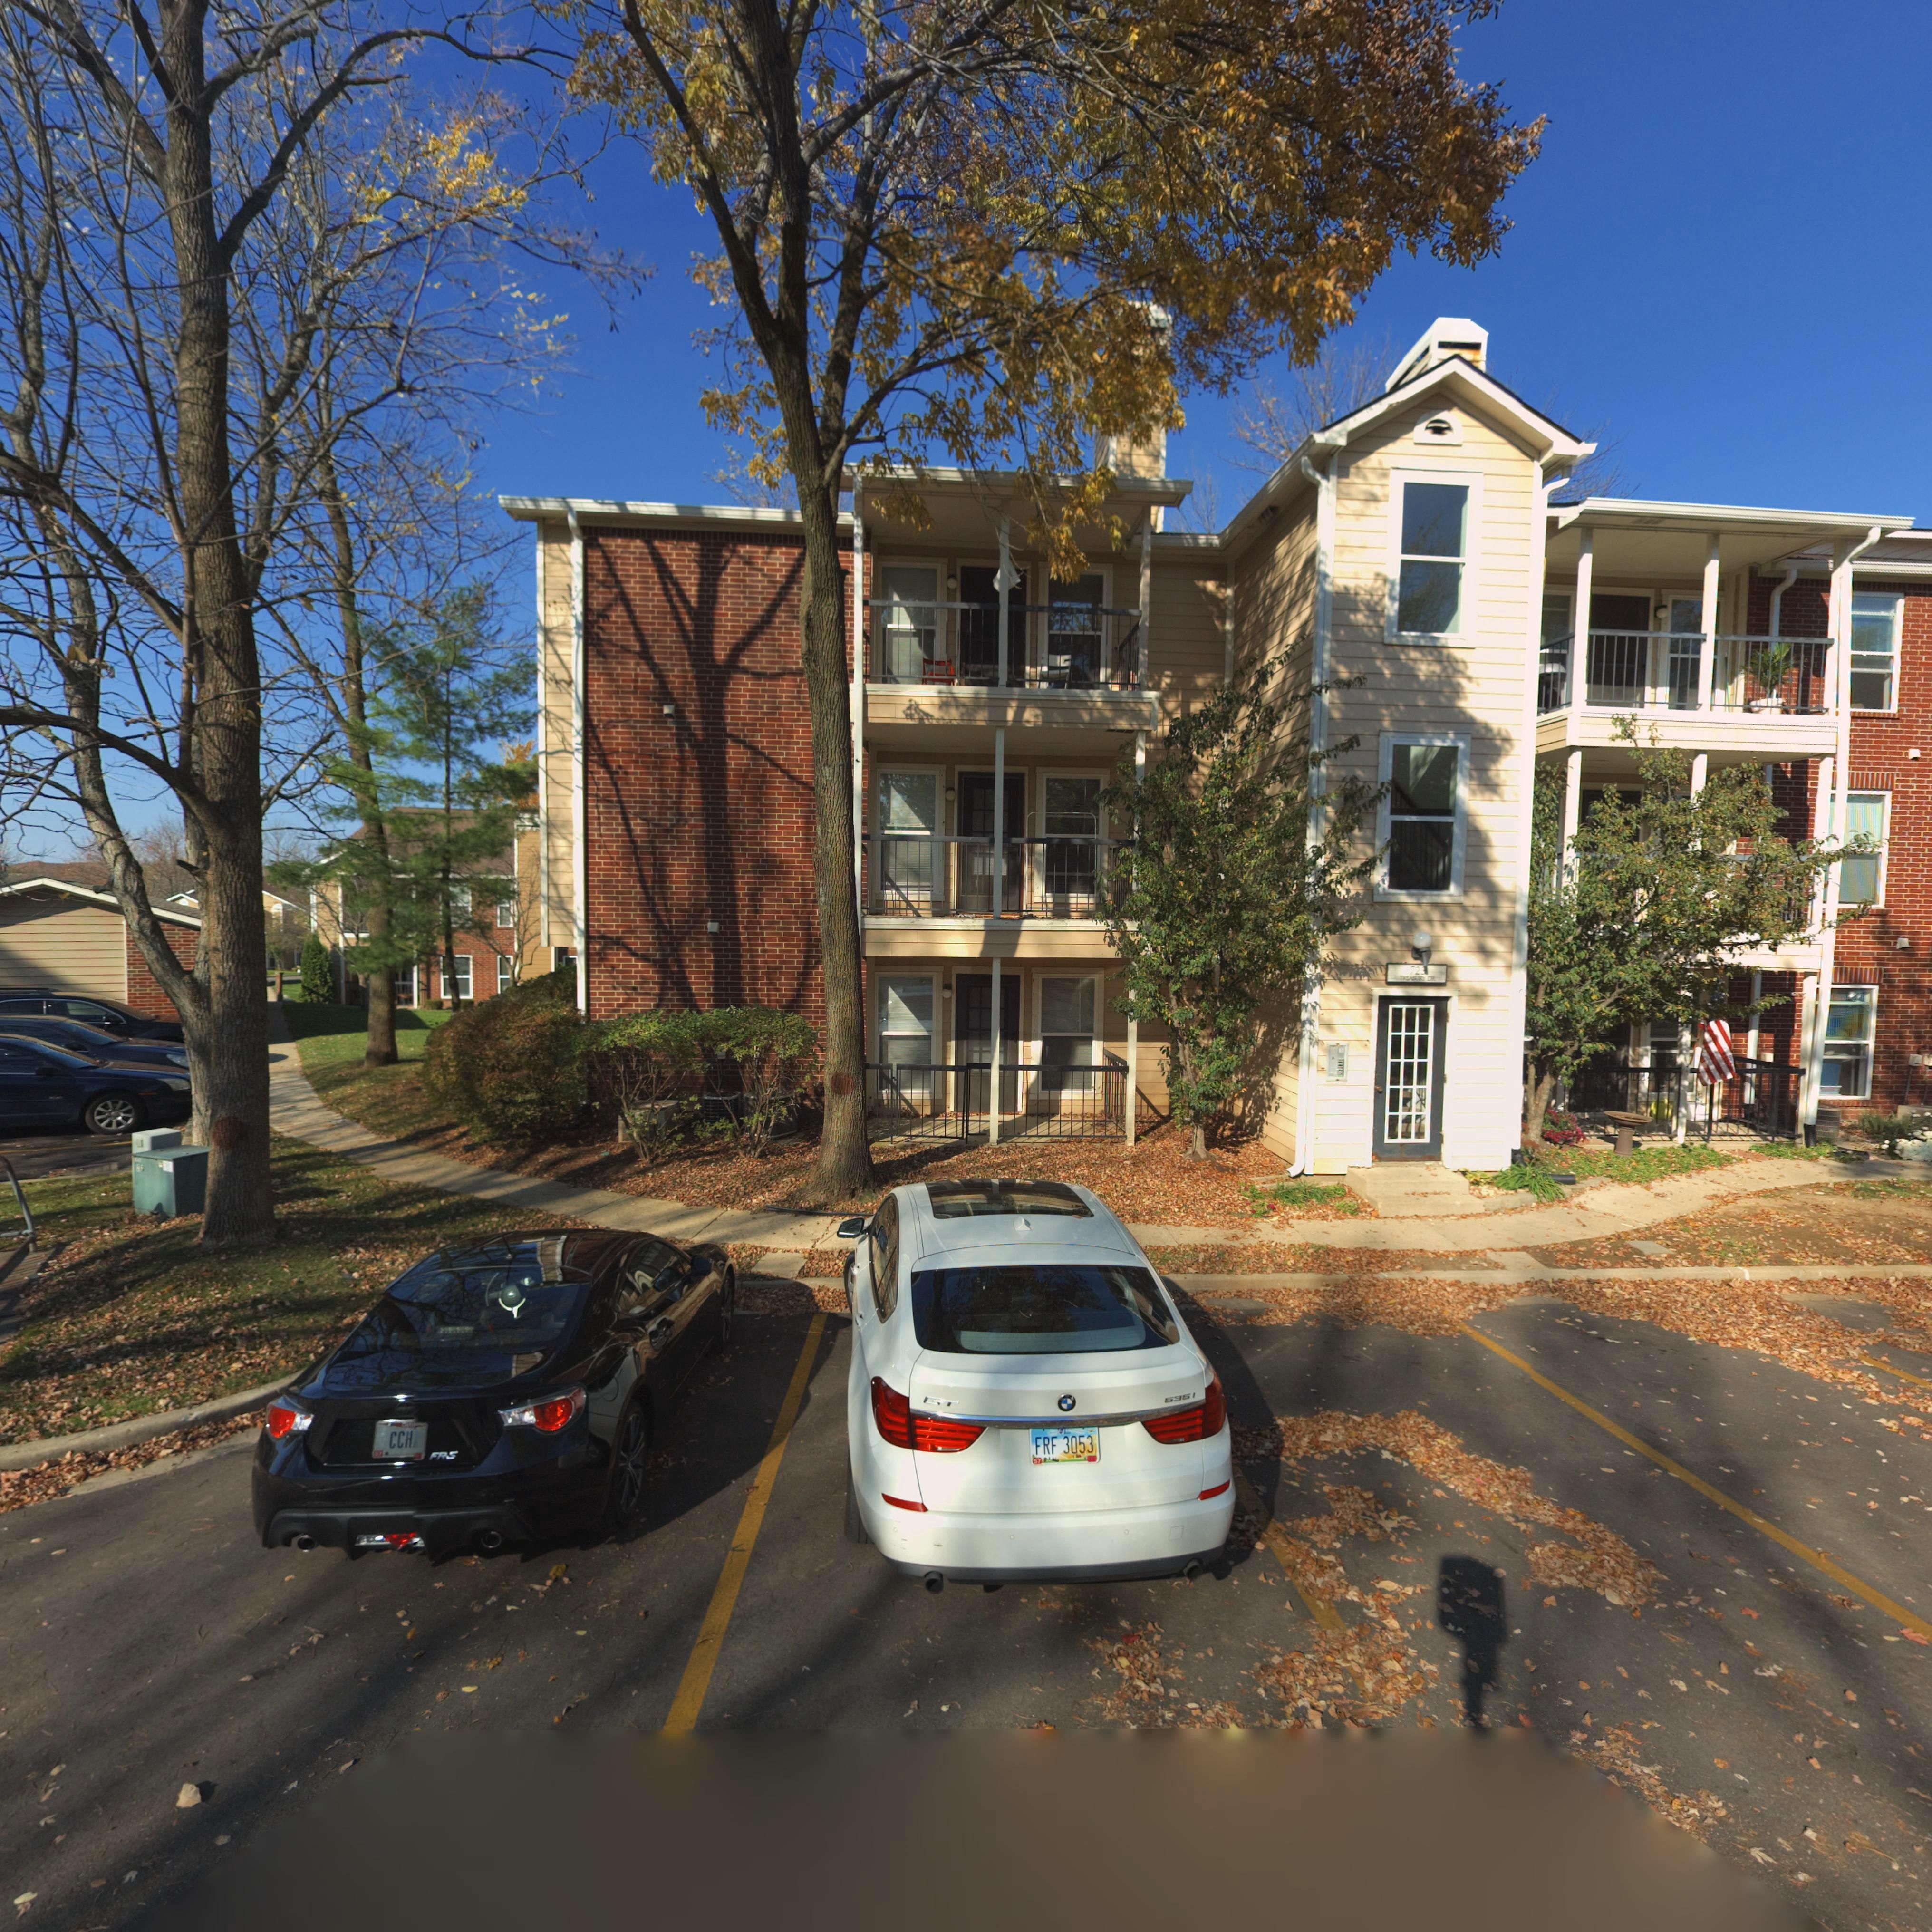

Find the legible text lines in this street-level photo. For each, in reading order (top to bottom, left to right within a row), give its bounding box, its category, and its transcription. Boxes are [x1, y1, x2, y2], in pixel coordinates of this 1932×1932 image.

[1409, 965, 1427, 975] StreetNumber: 723
[1398, 975, 1437, 982] StreetName: TREASU** DR
[920, 1393, 961, 1410] None: GT
[1162, 1390, 1198, 1405] None: 5951
[388, 1428, 415, 1451] None: CCH
[1035, 1434, 1094, 1457] None: FRF 3053
[427, 1449, 460, 1461] None: FRS
[1033, 1458, 1042, 1465] None: 57